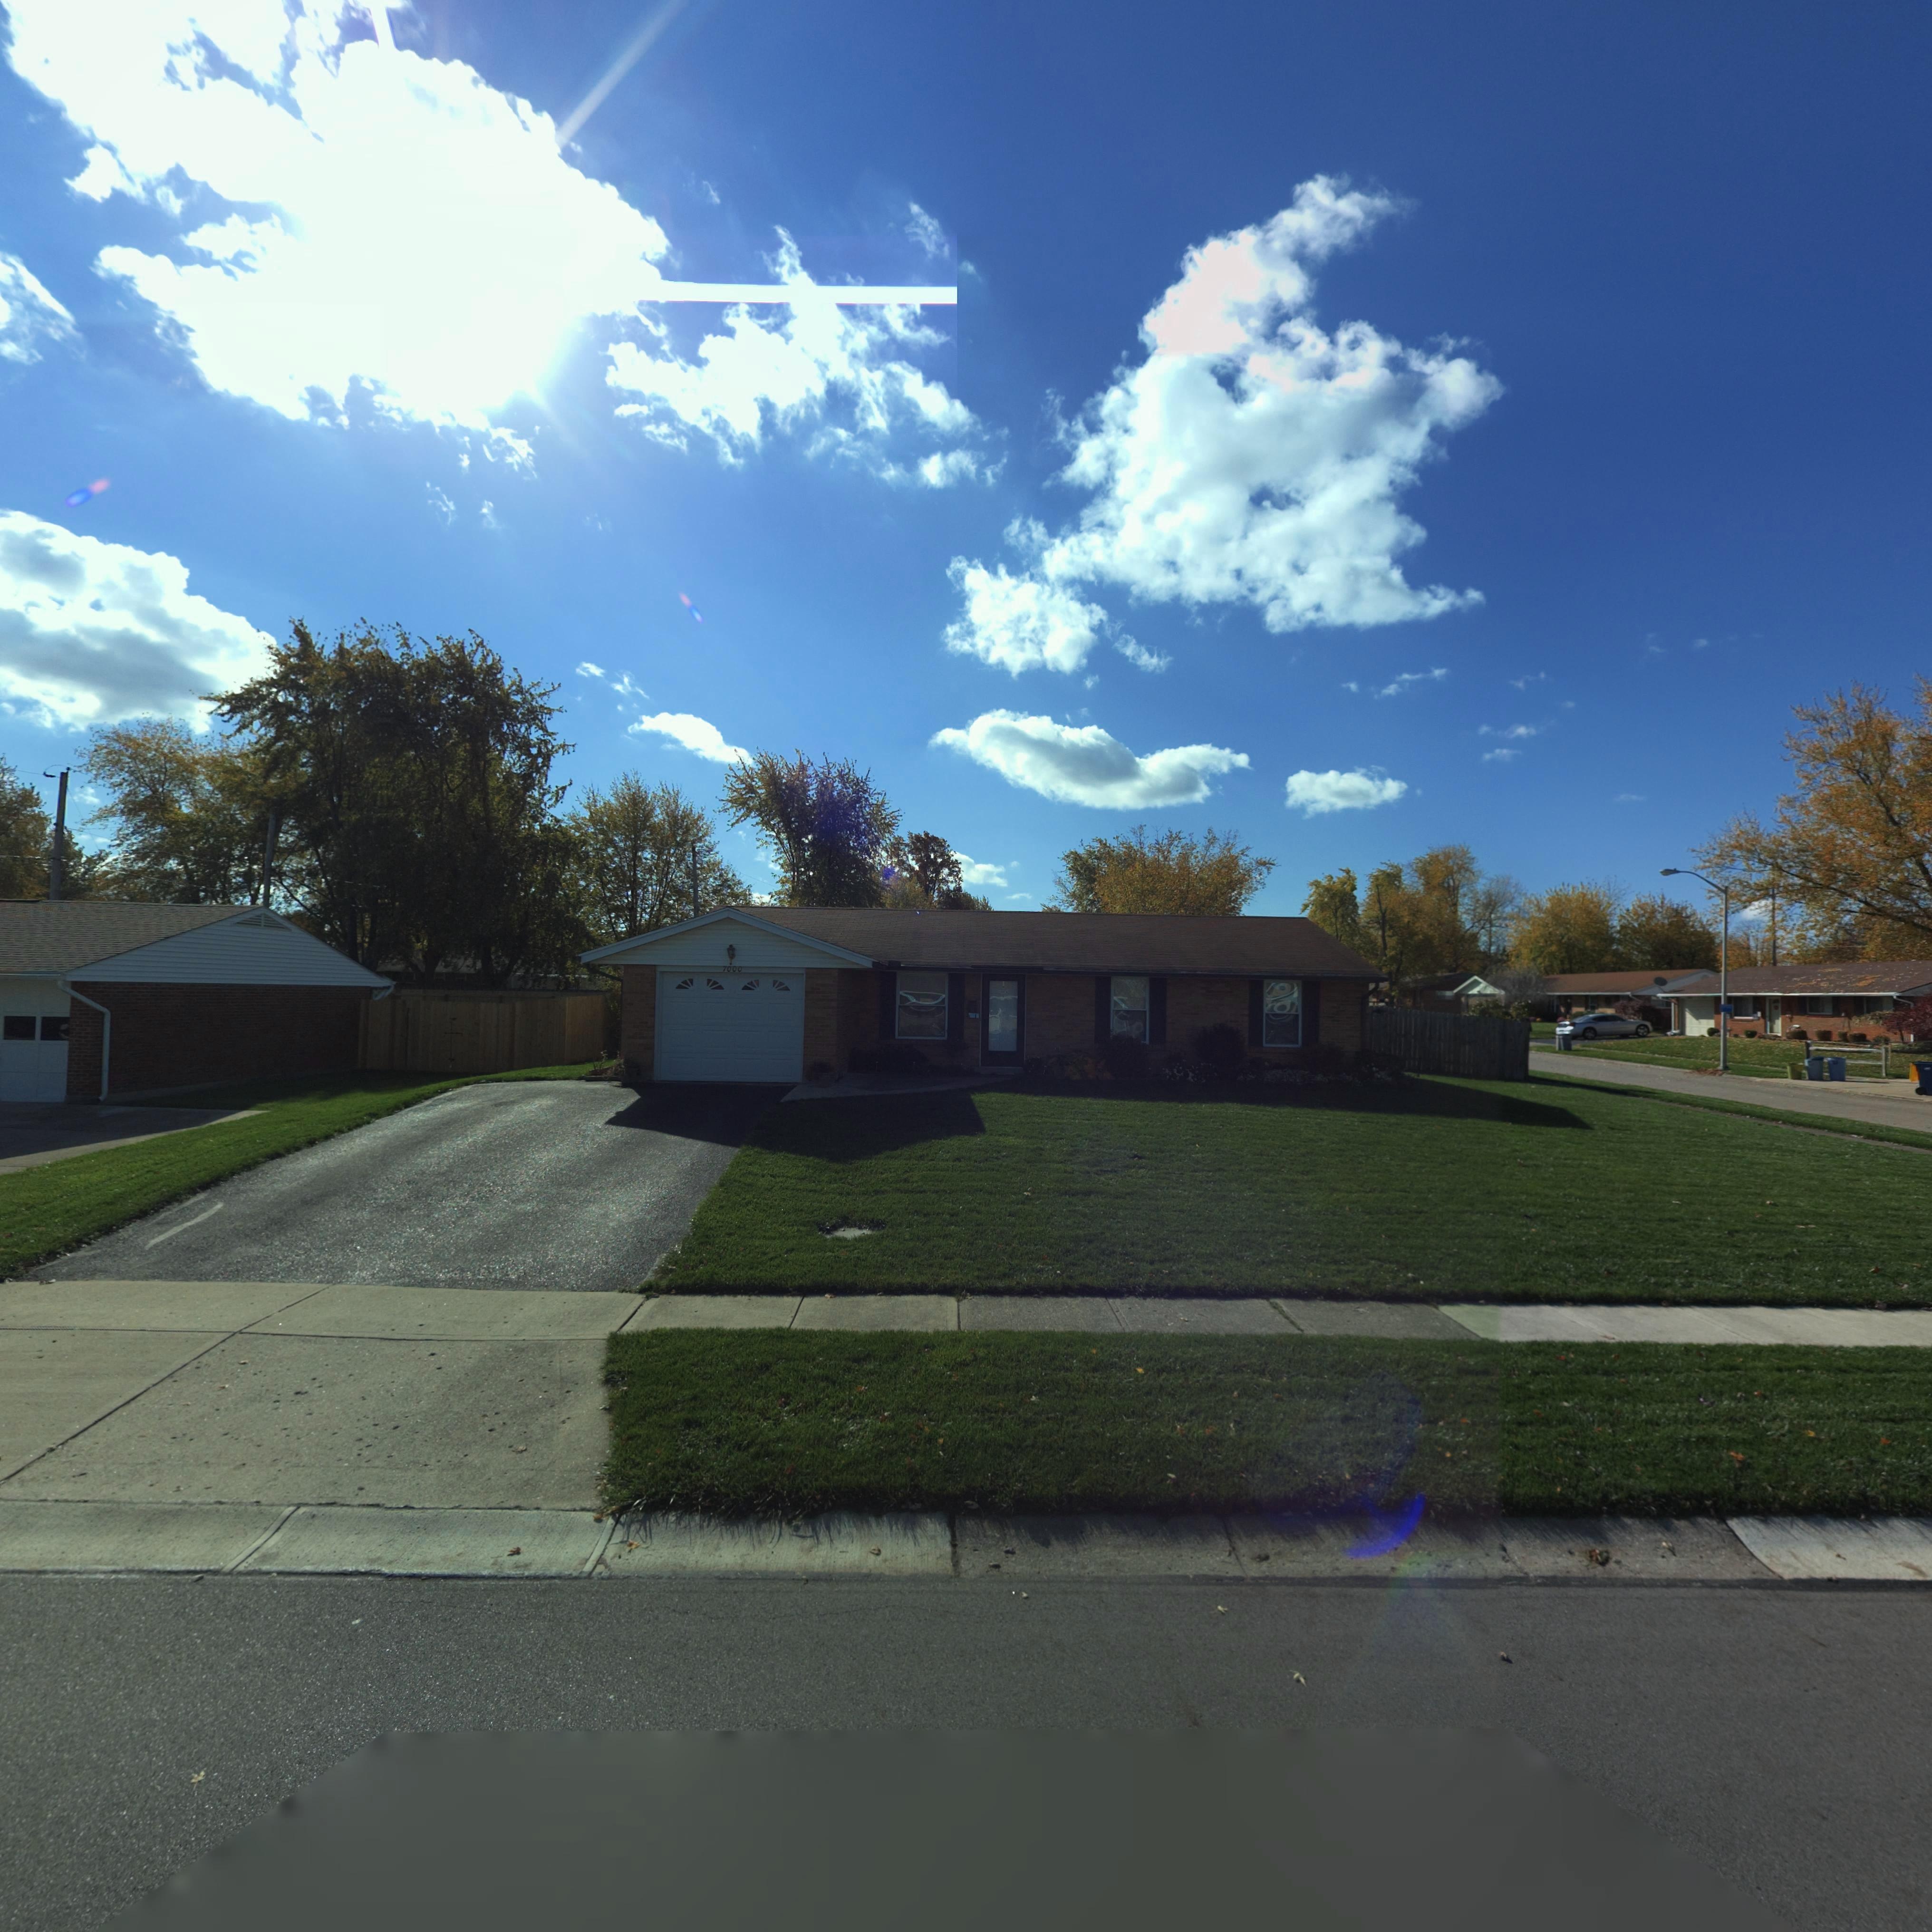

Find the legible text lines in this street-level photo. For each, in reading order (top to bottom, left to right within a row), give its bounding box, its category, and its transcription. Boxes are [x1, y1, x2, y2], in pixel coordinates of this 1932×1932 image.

[722, 965, 744, 973] StreetNumber: 7000